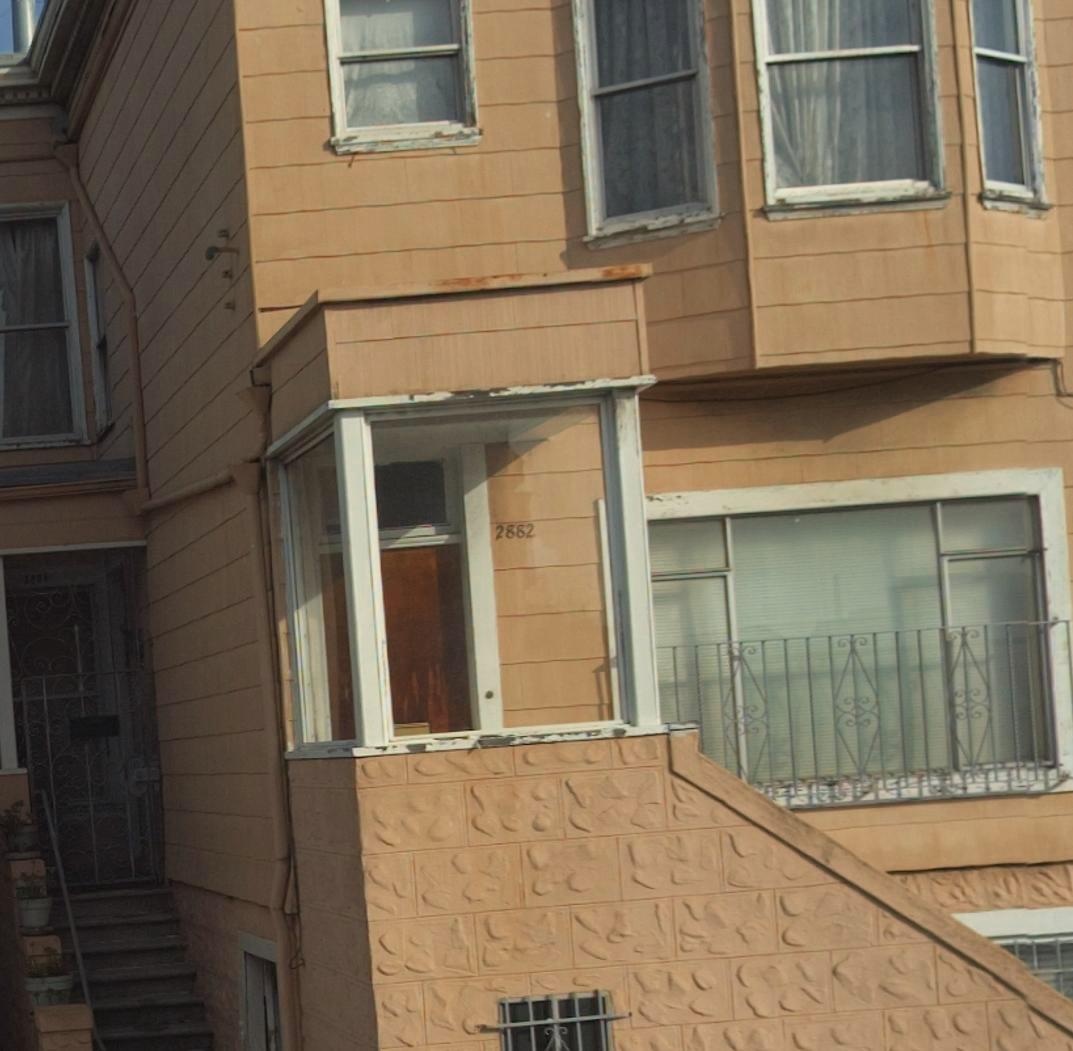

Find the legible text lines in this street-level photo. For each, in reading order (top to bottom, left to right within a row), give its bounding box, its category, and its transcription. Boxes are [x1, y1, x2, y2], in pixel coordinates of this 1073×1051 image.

[491, 520, 539, 543] StreetNumber: 2882